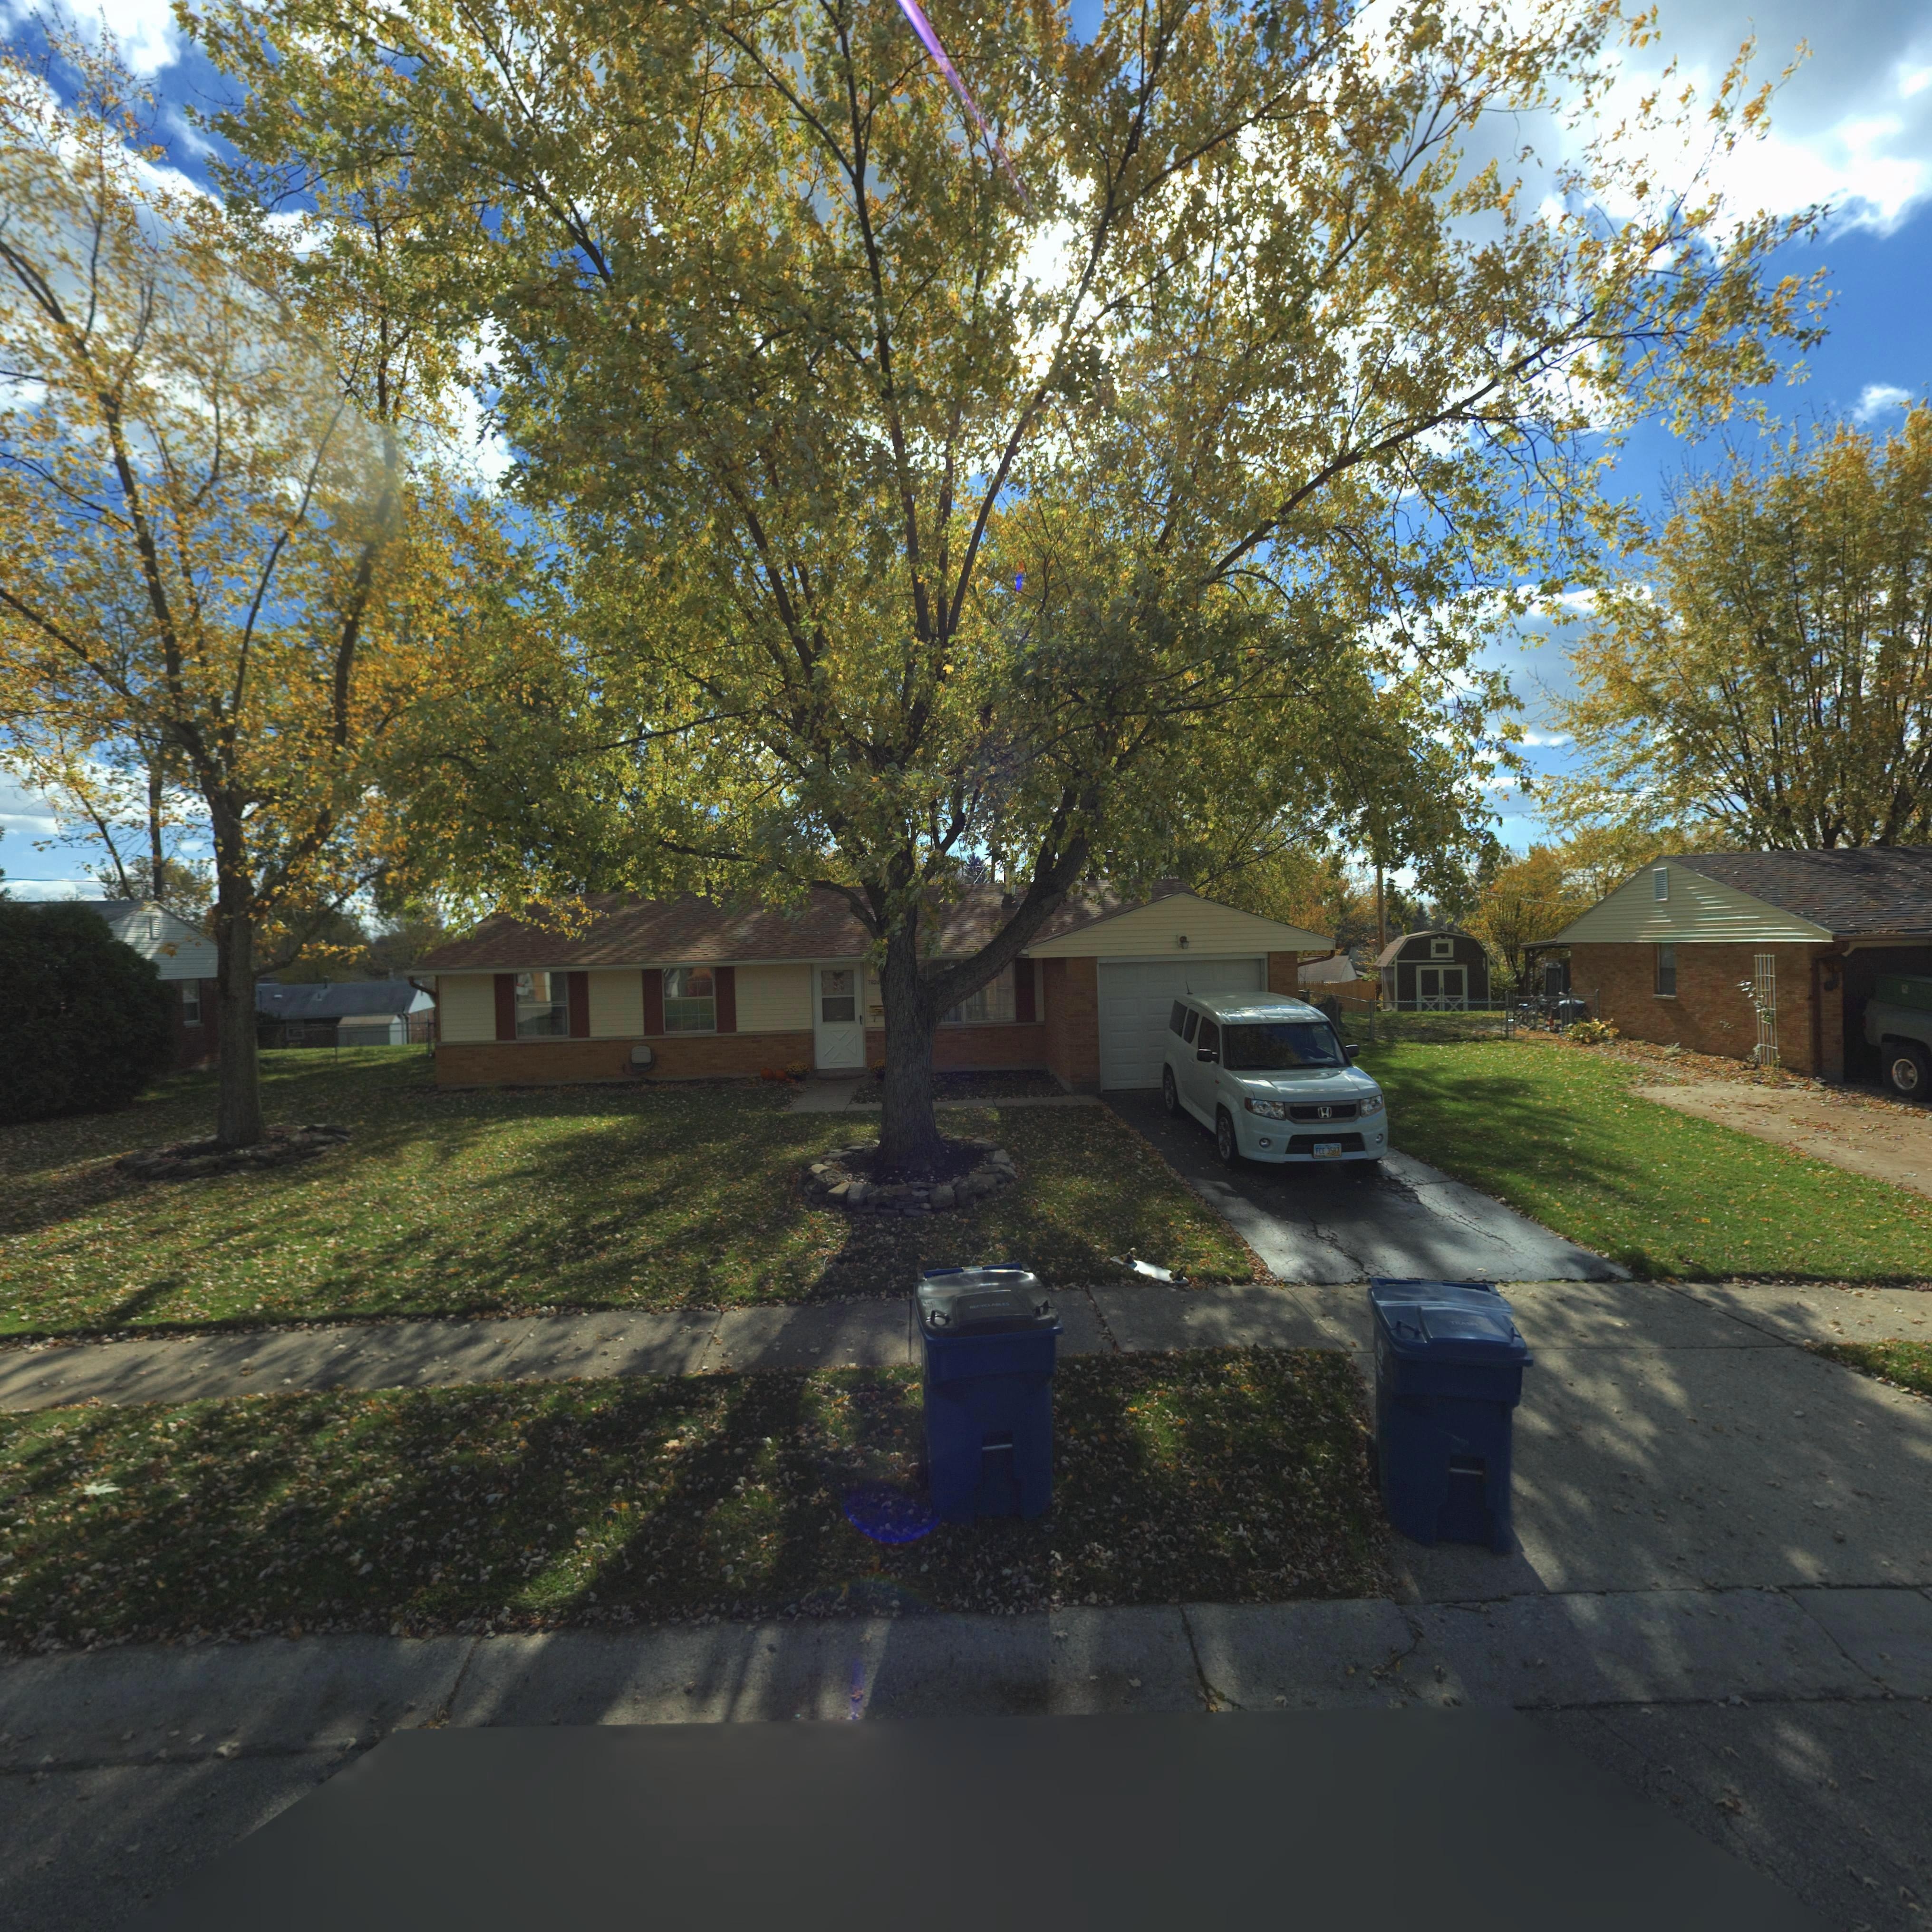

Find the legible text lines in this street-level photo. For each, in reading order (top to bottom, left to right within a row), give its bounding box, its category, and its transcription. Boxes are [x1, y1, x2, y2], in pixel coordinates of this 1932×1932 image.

[867, 979, 880, 985] StreetNumber: 7624